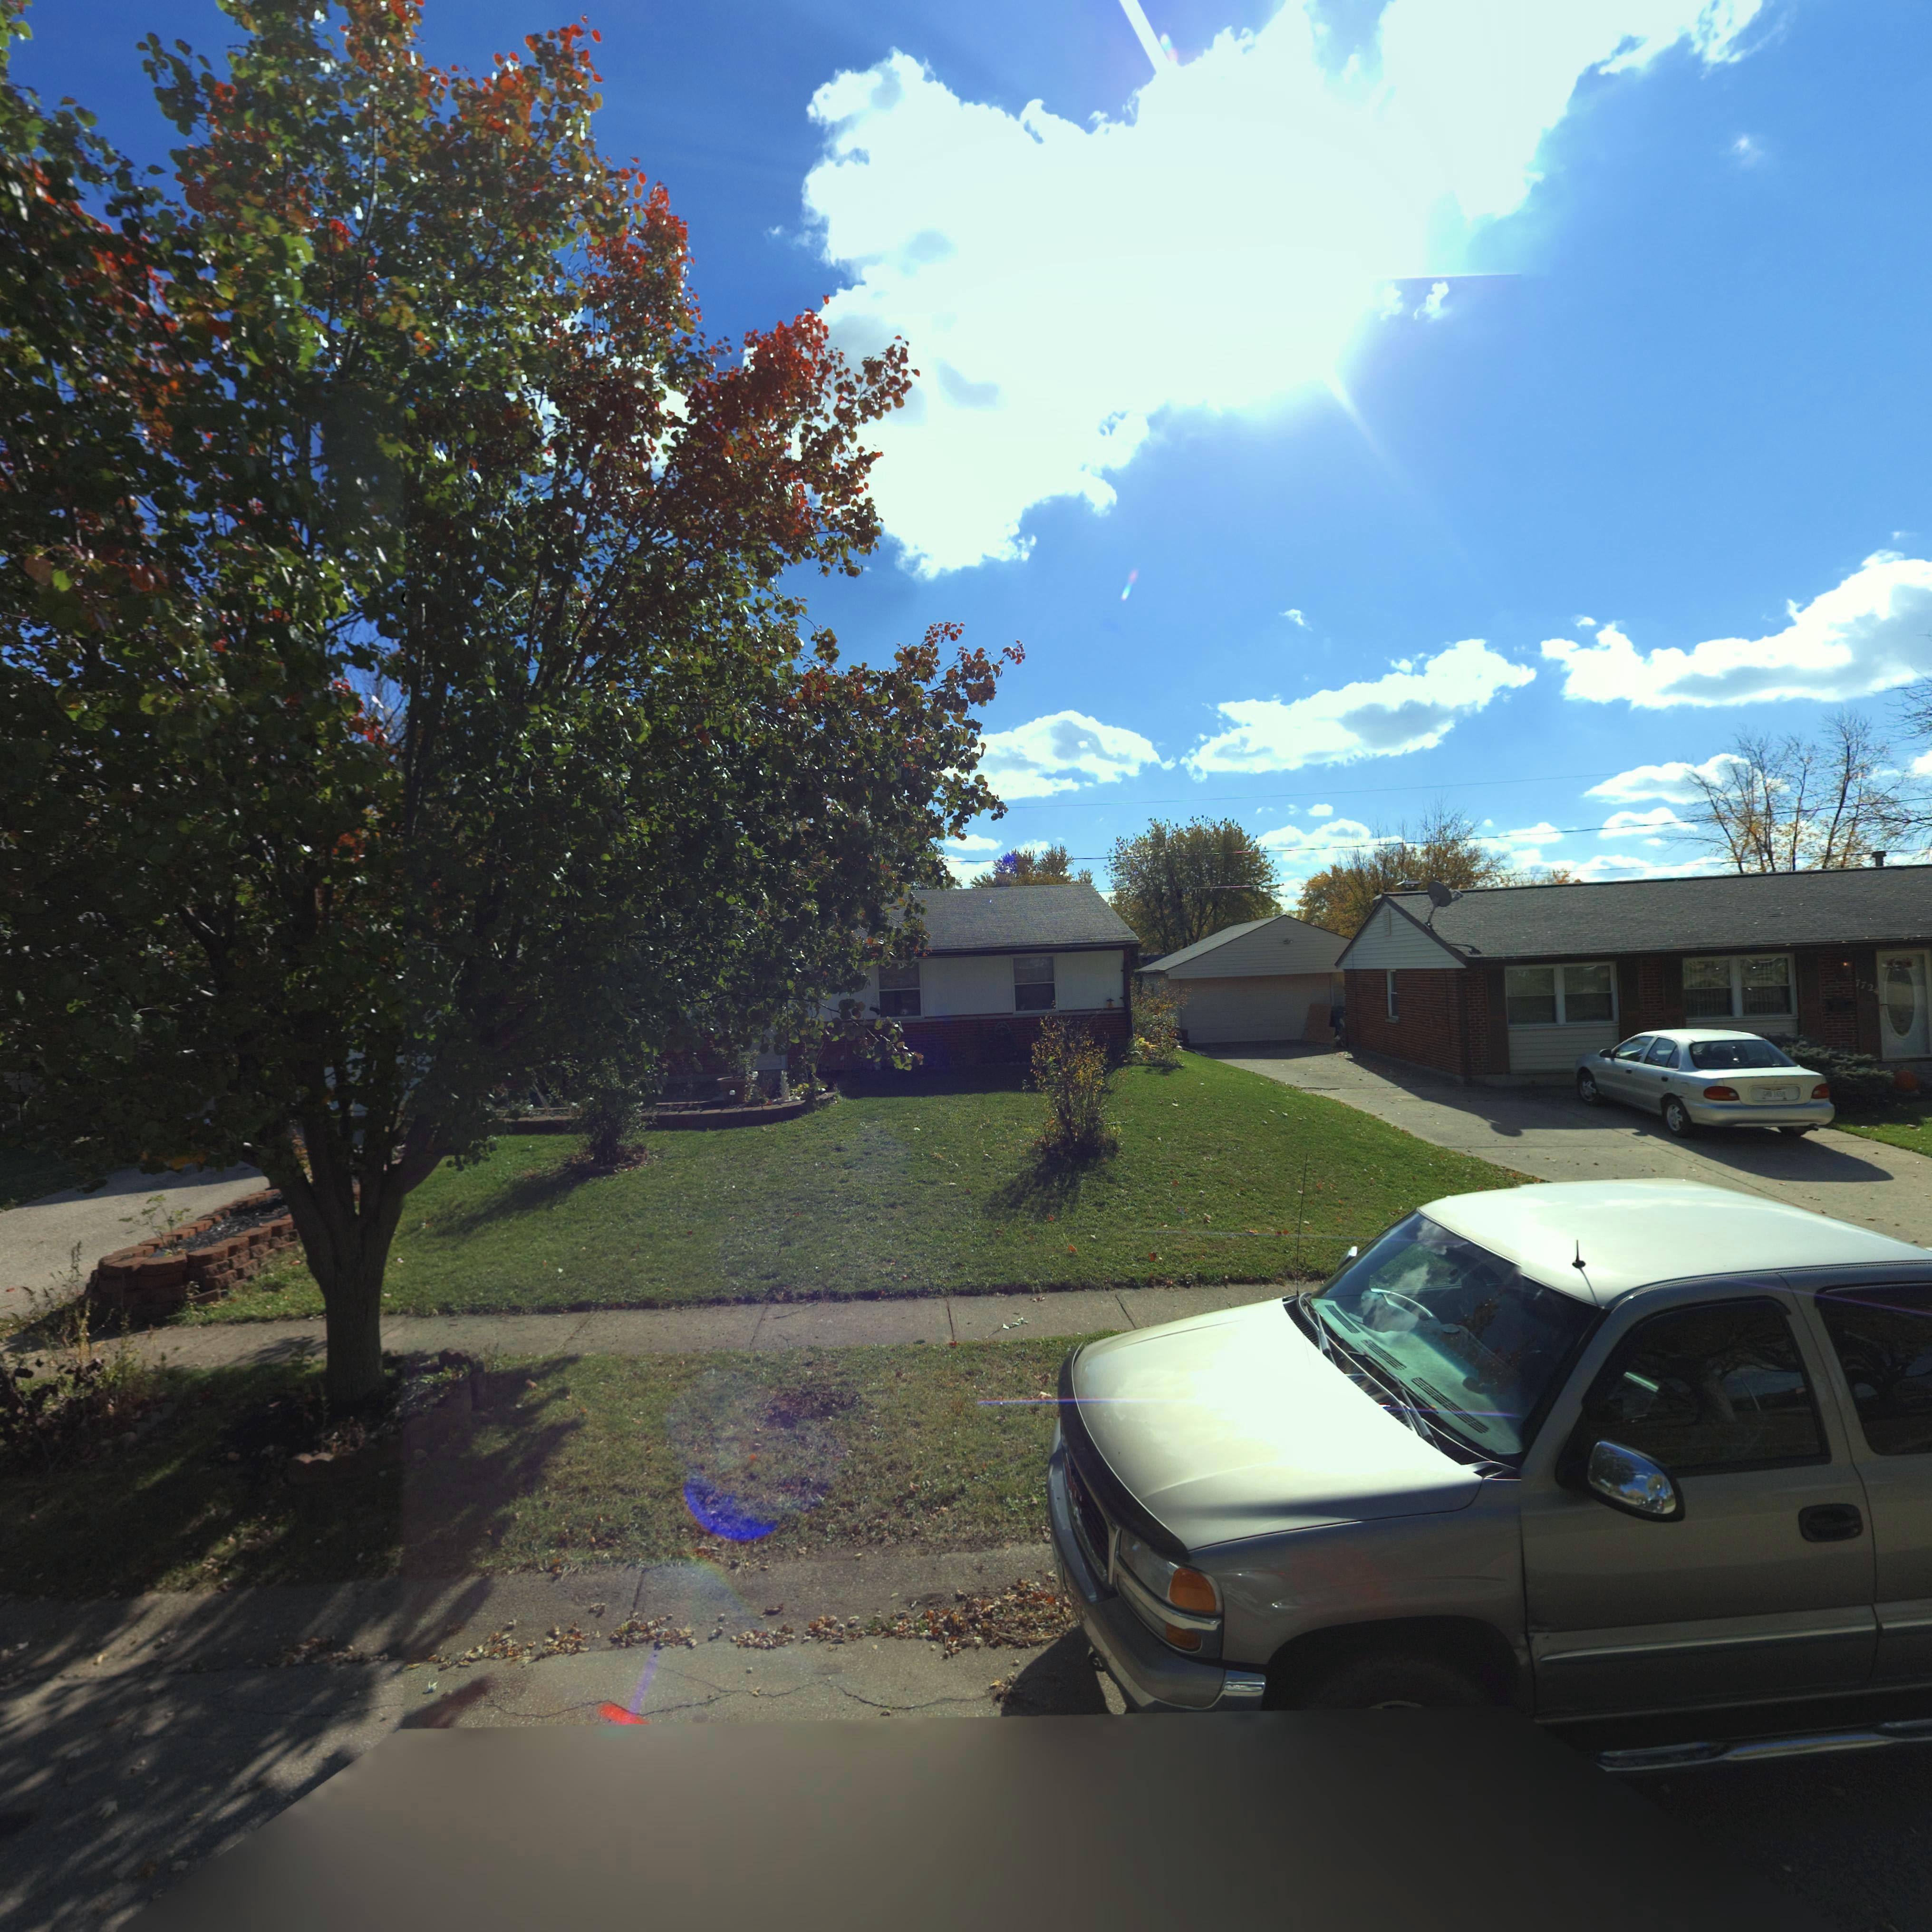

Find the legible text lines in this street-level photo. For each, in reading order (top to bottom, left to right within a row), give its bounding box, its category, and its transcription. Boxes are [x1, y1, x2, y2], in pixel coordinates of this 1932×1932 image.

[1855, 978, 1880, 995] StreetNumber: 7724